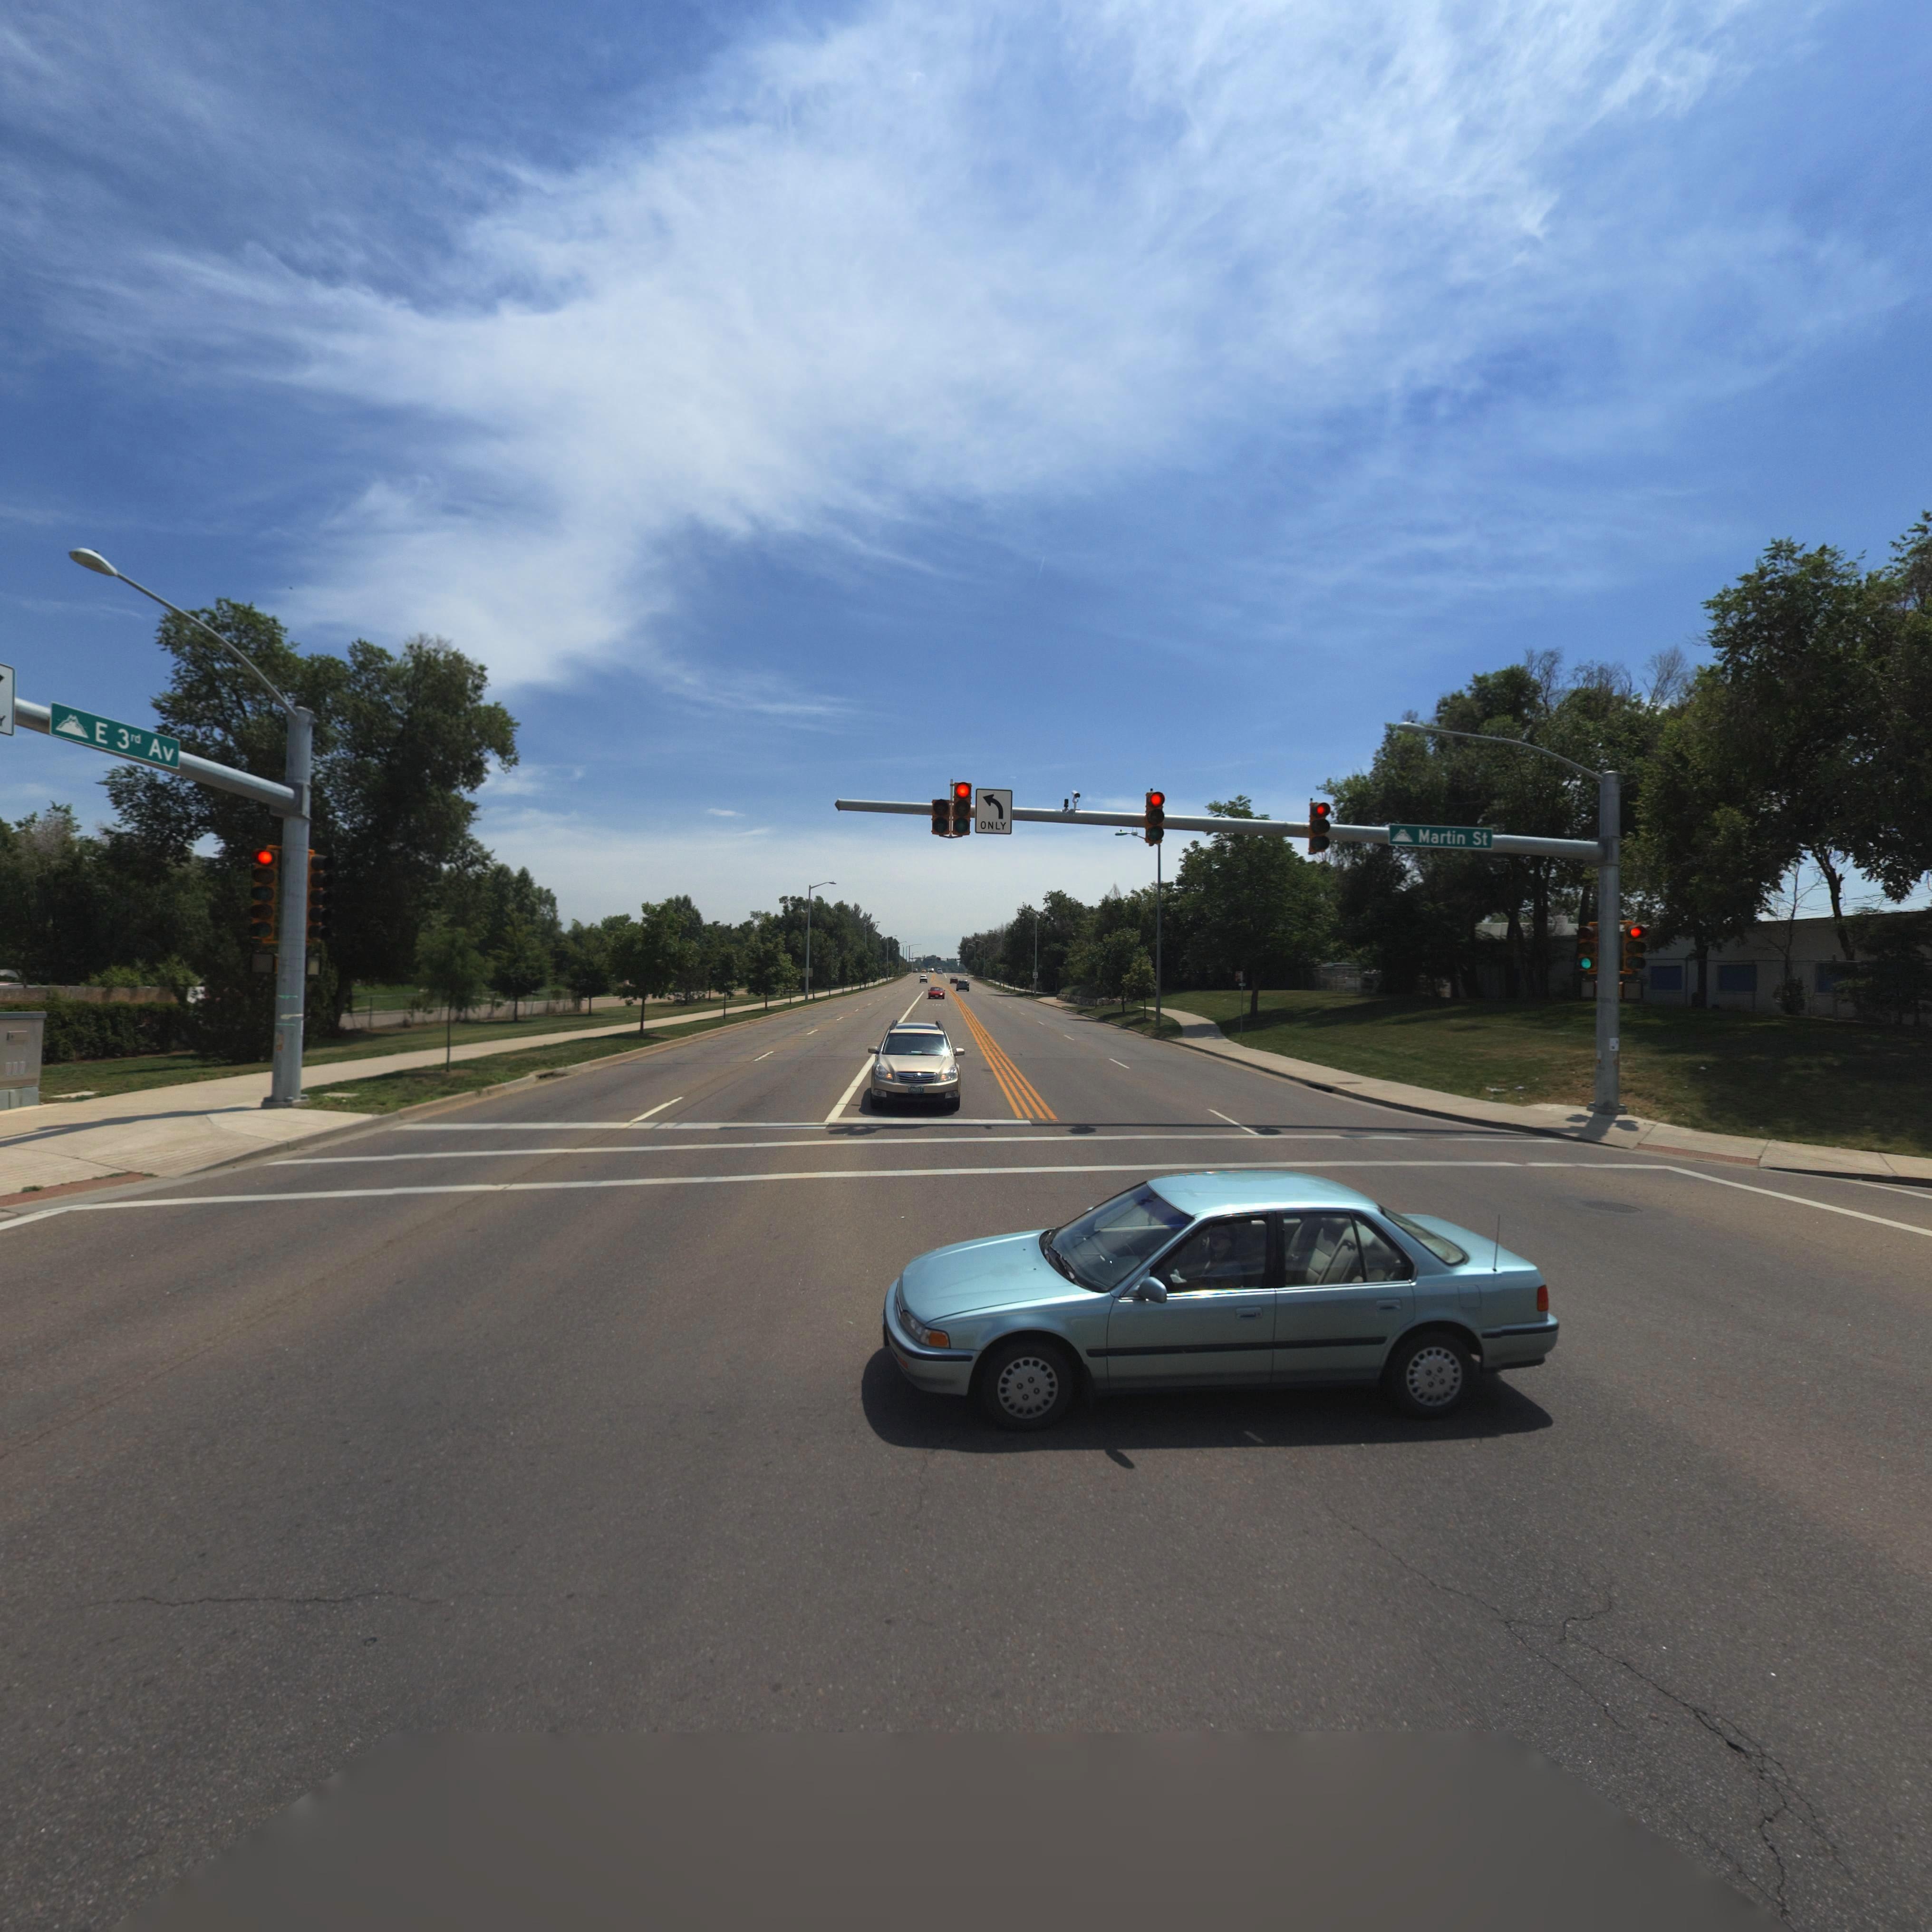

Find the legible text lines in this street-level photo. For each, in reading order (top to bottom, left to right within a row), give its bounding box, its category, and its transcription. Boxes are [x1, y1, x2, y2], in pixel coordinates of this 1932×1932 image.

[95, 720, 174, 763] StreetName: E 3rd Av
[1418, 829, 1488, 846] StreetName: Martin St